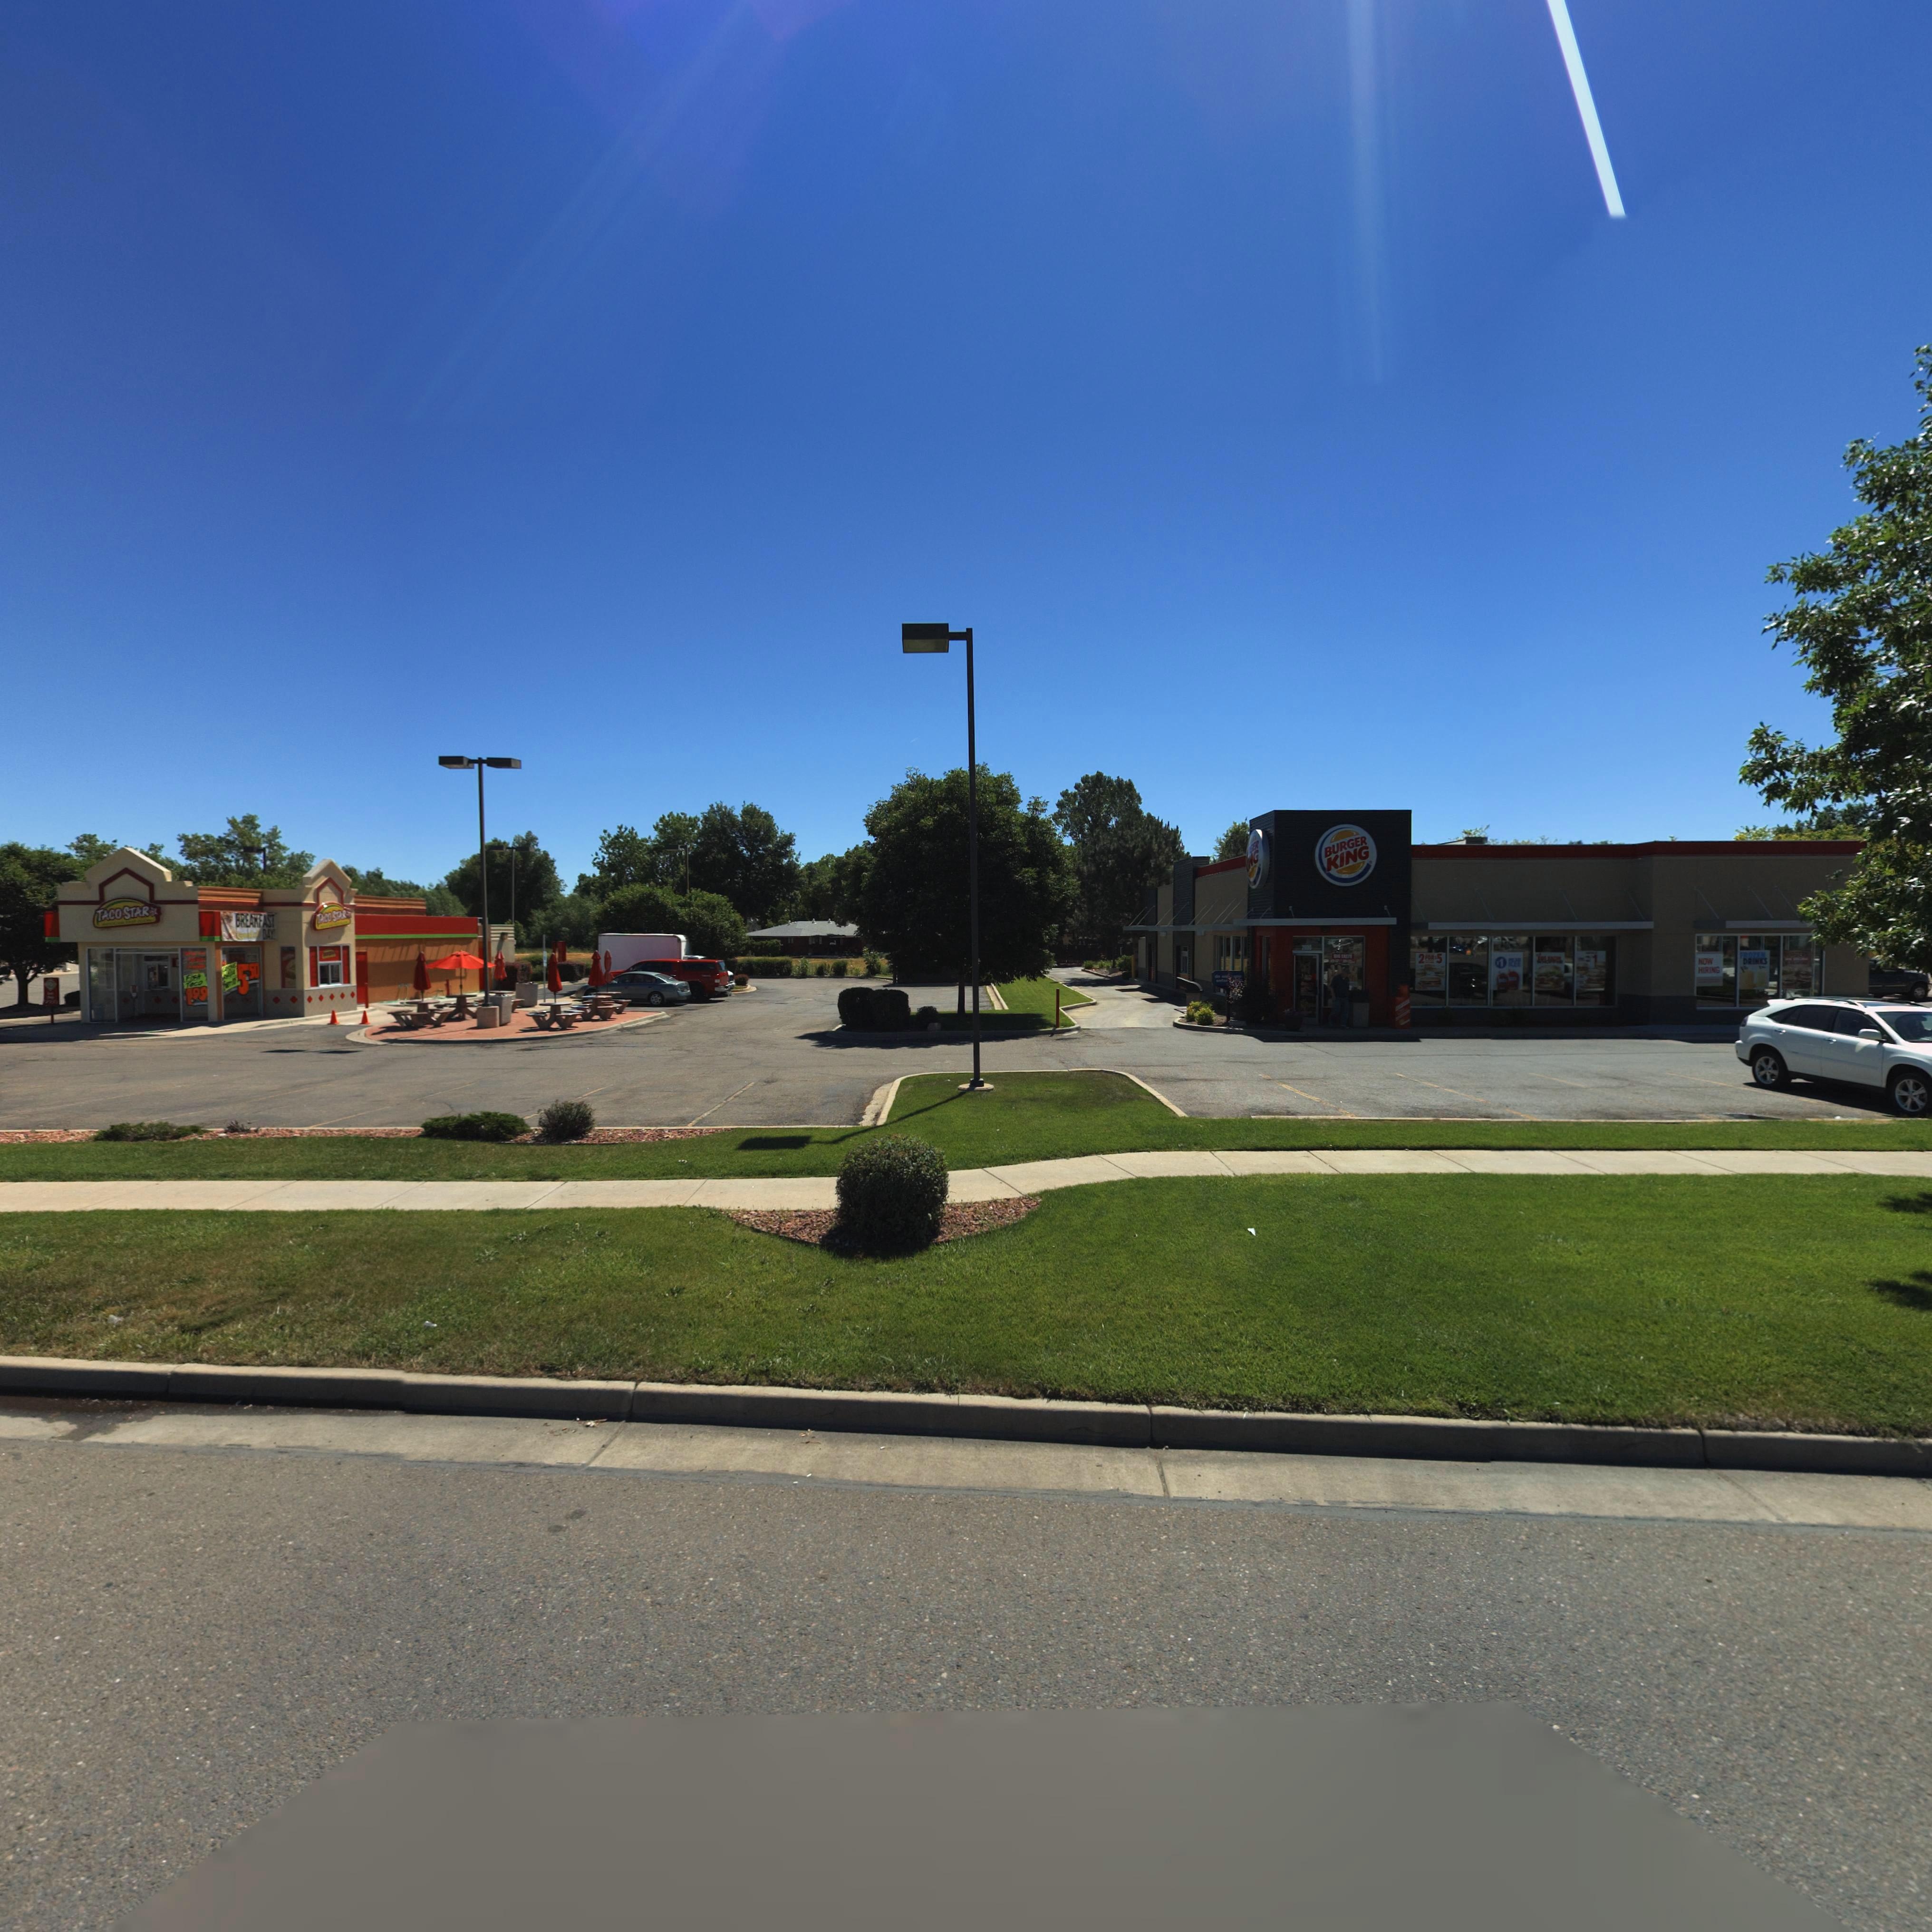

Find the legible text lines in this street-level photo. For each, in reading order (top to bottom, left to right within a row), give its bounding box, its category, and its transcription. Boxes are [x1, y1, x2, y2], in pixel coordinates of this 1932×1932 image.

[1249, 840, 1259, 853] BusinessName: GER
[1324, 836, 1368, 858] BusinessName: BURGER
[1248, 849, 1259, 869] BusinessName: NG
[1326, 845, 1369, 872] BusinessName: KING
[95, 905, 150, 922] BusinessName: TACOSTAR
[316, 909, 347, 925] BusinessName: TACOSTAR
[1301, 944, 1312, 950] StreetNumber: 2000